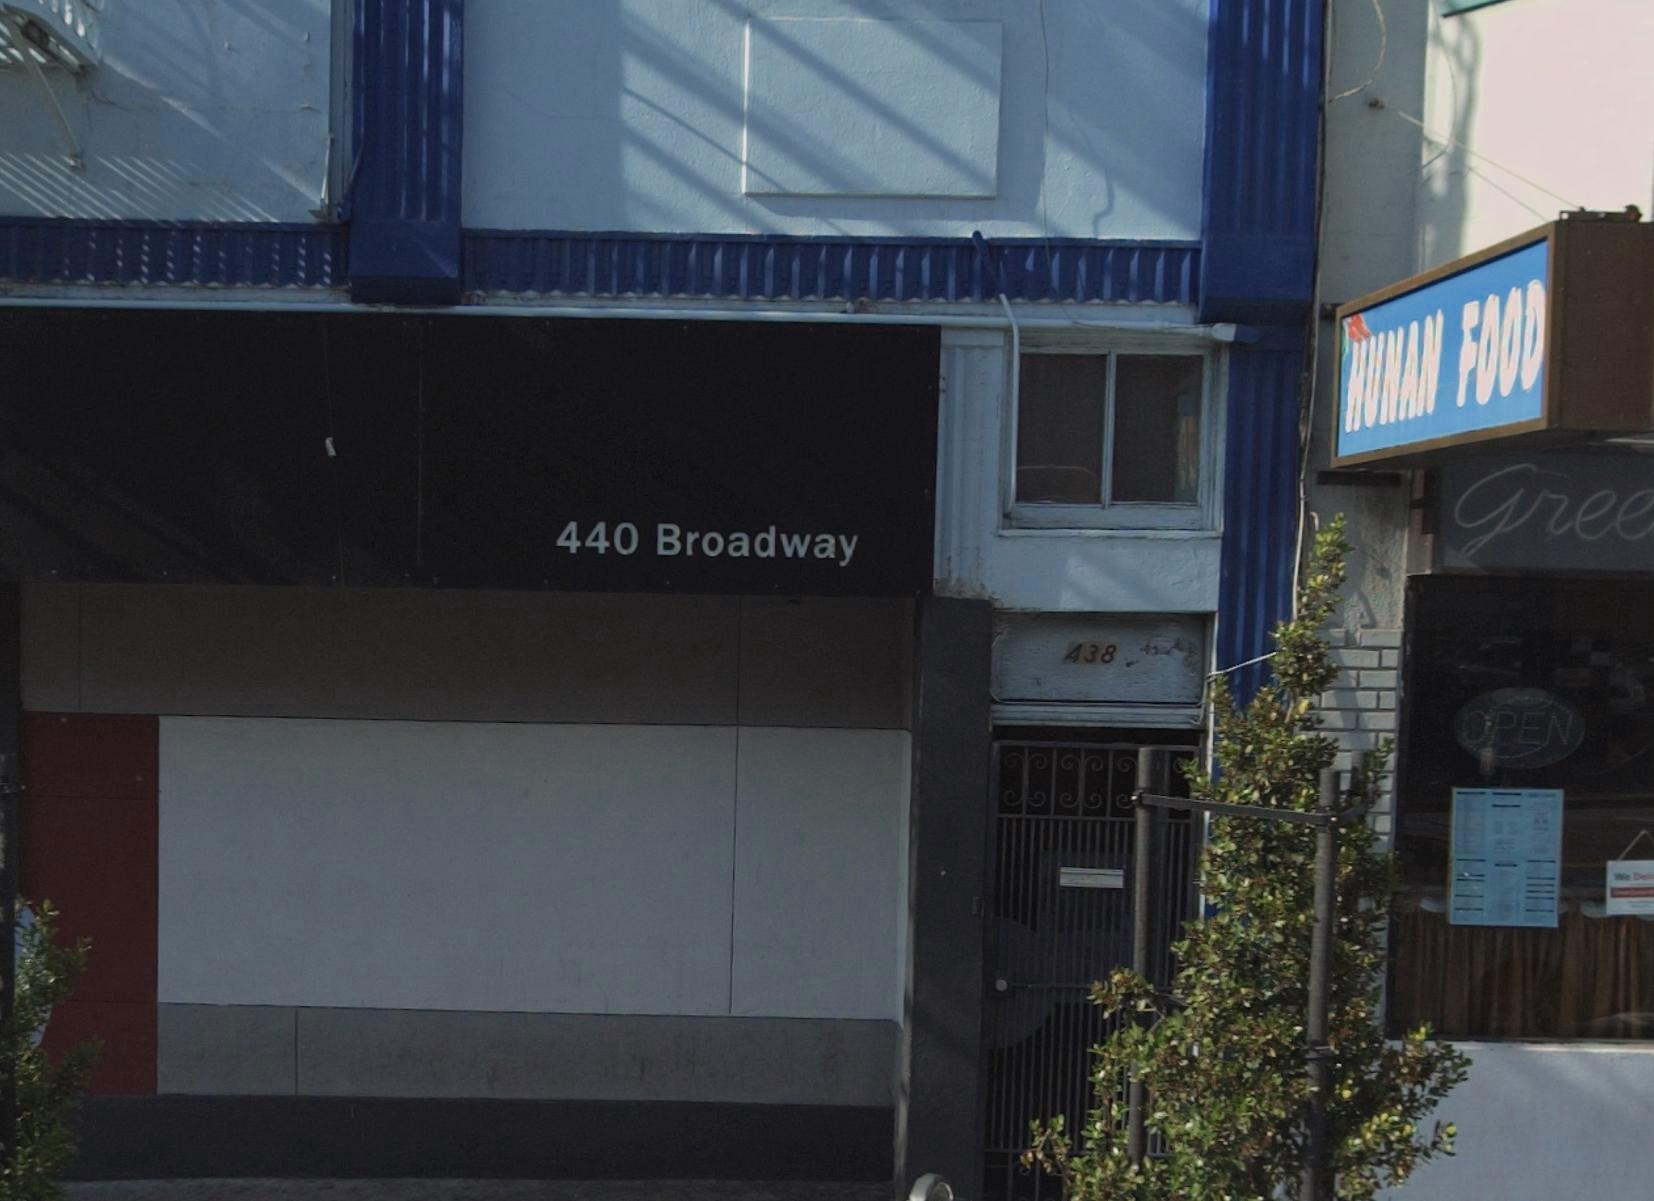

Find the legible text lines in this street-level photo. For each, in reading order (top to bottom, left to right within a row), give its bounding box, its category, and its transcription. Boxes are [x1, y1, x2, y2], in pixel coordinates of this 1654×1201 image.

[1343, 273, 1549, 439] None: HUNAN FOOD
[1451, 457, 1654, 565] None: Gree
[552, 517, 641, 557] StreetNumber: 440
[654, 518, 862, 569] StreetName: Broadway
[1063, 637, 1118, 666] StreetNumber: 438
[1460, 709, 1575, 748] None: OPEN